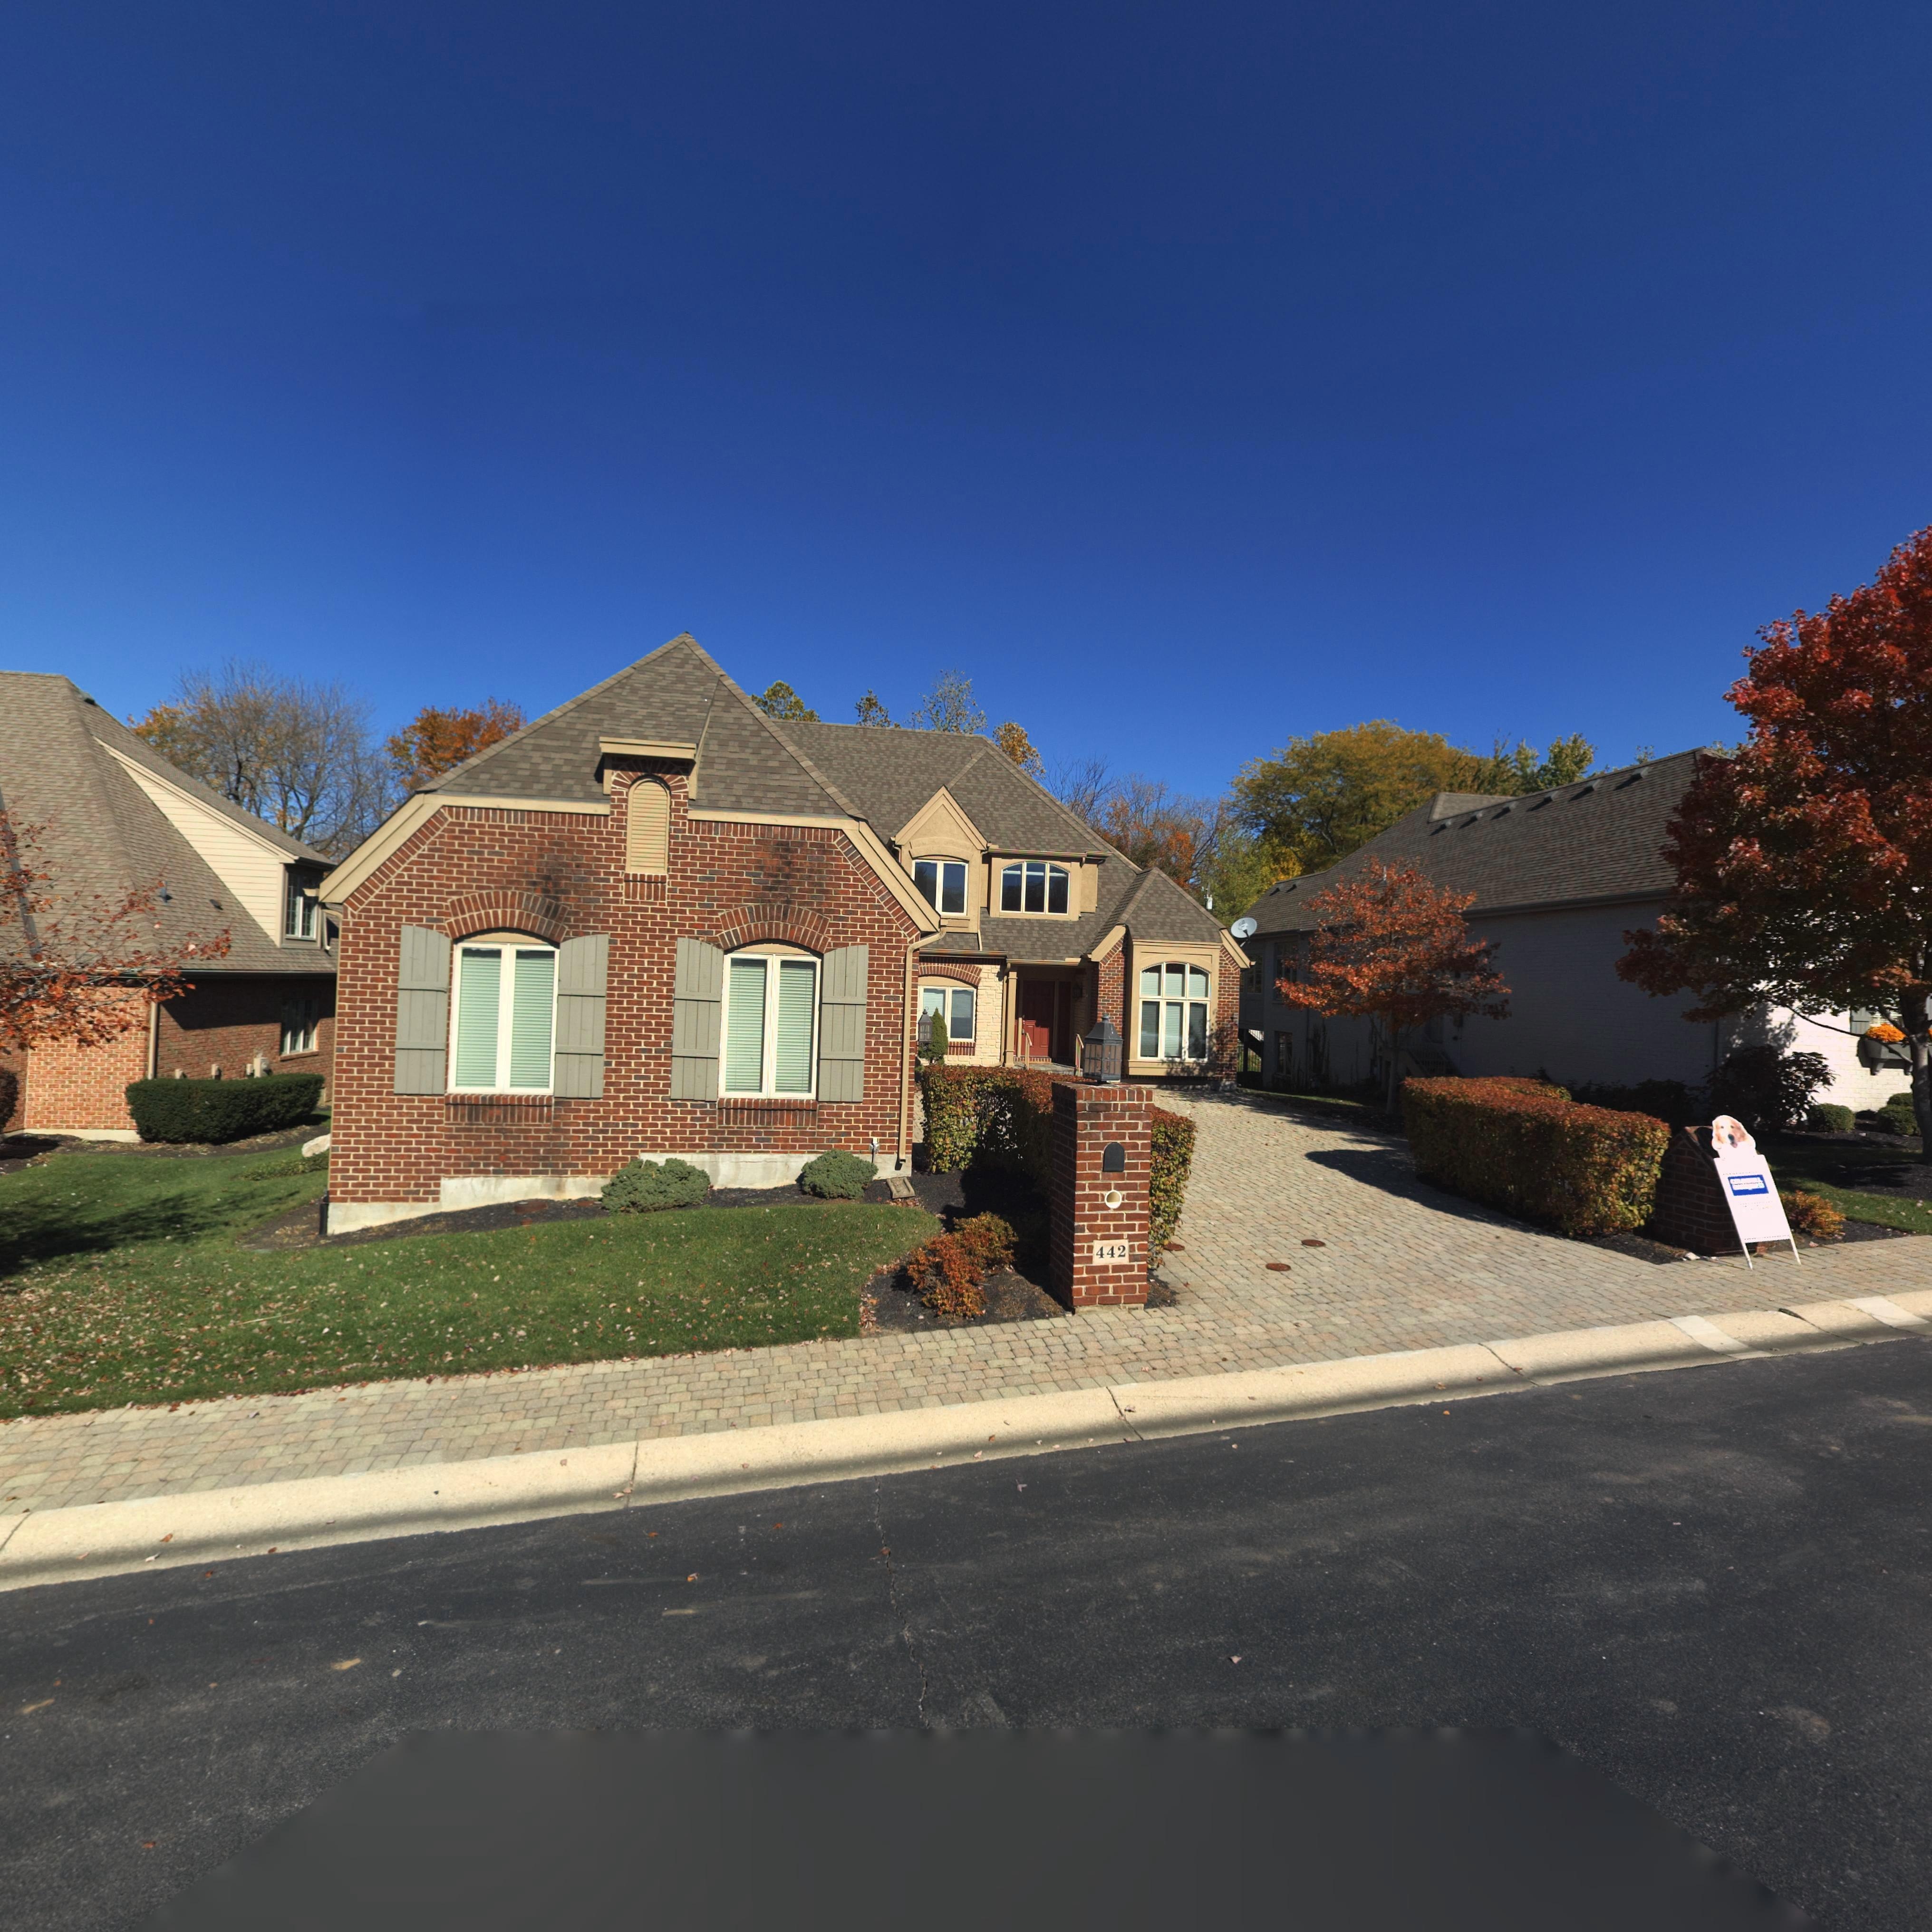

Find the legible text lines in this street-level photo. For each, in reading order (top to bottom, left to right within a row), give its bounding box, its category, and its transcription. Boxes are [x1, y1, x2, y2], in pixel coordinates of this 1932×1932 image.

[1095, 1244, 1127, 1259] StreetNumber: 442